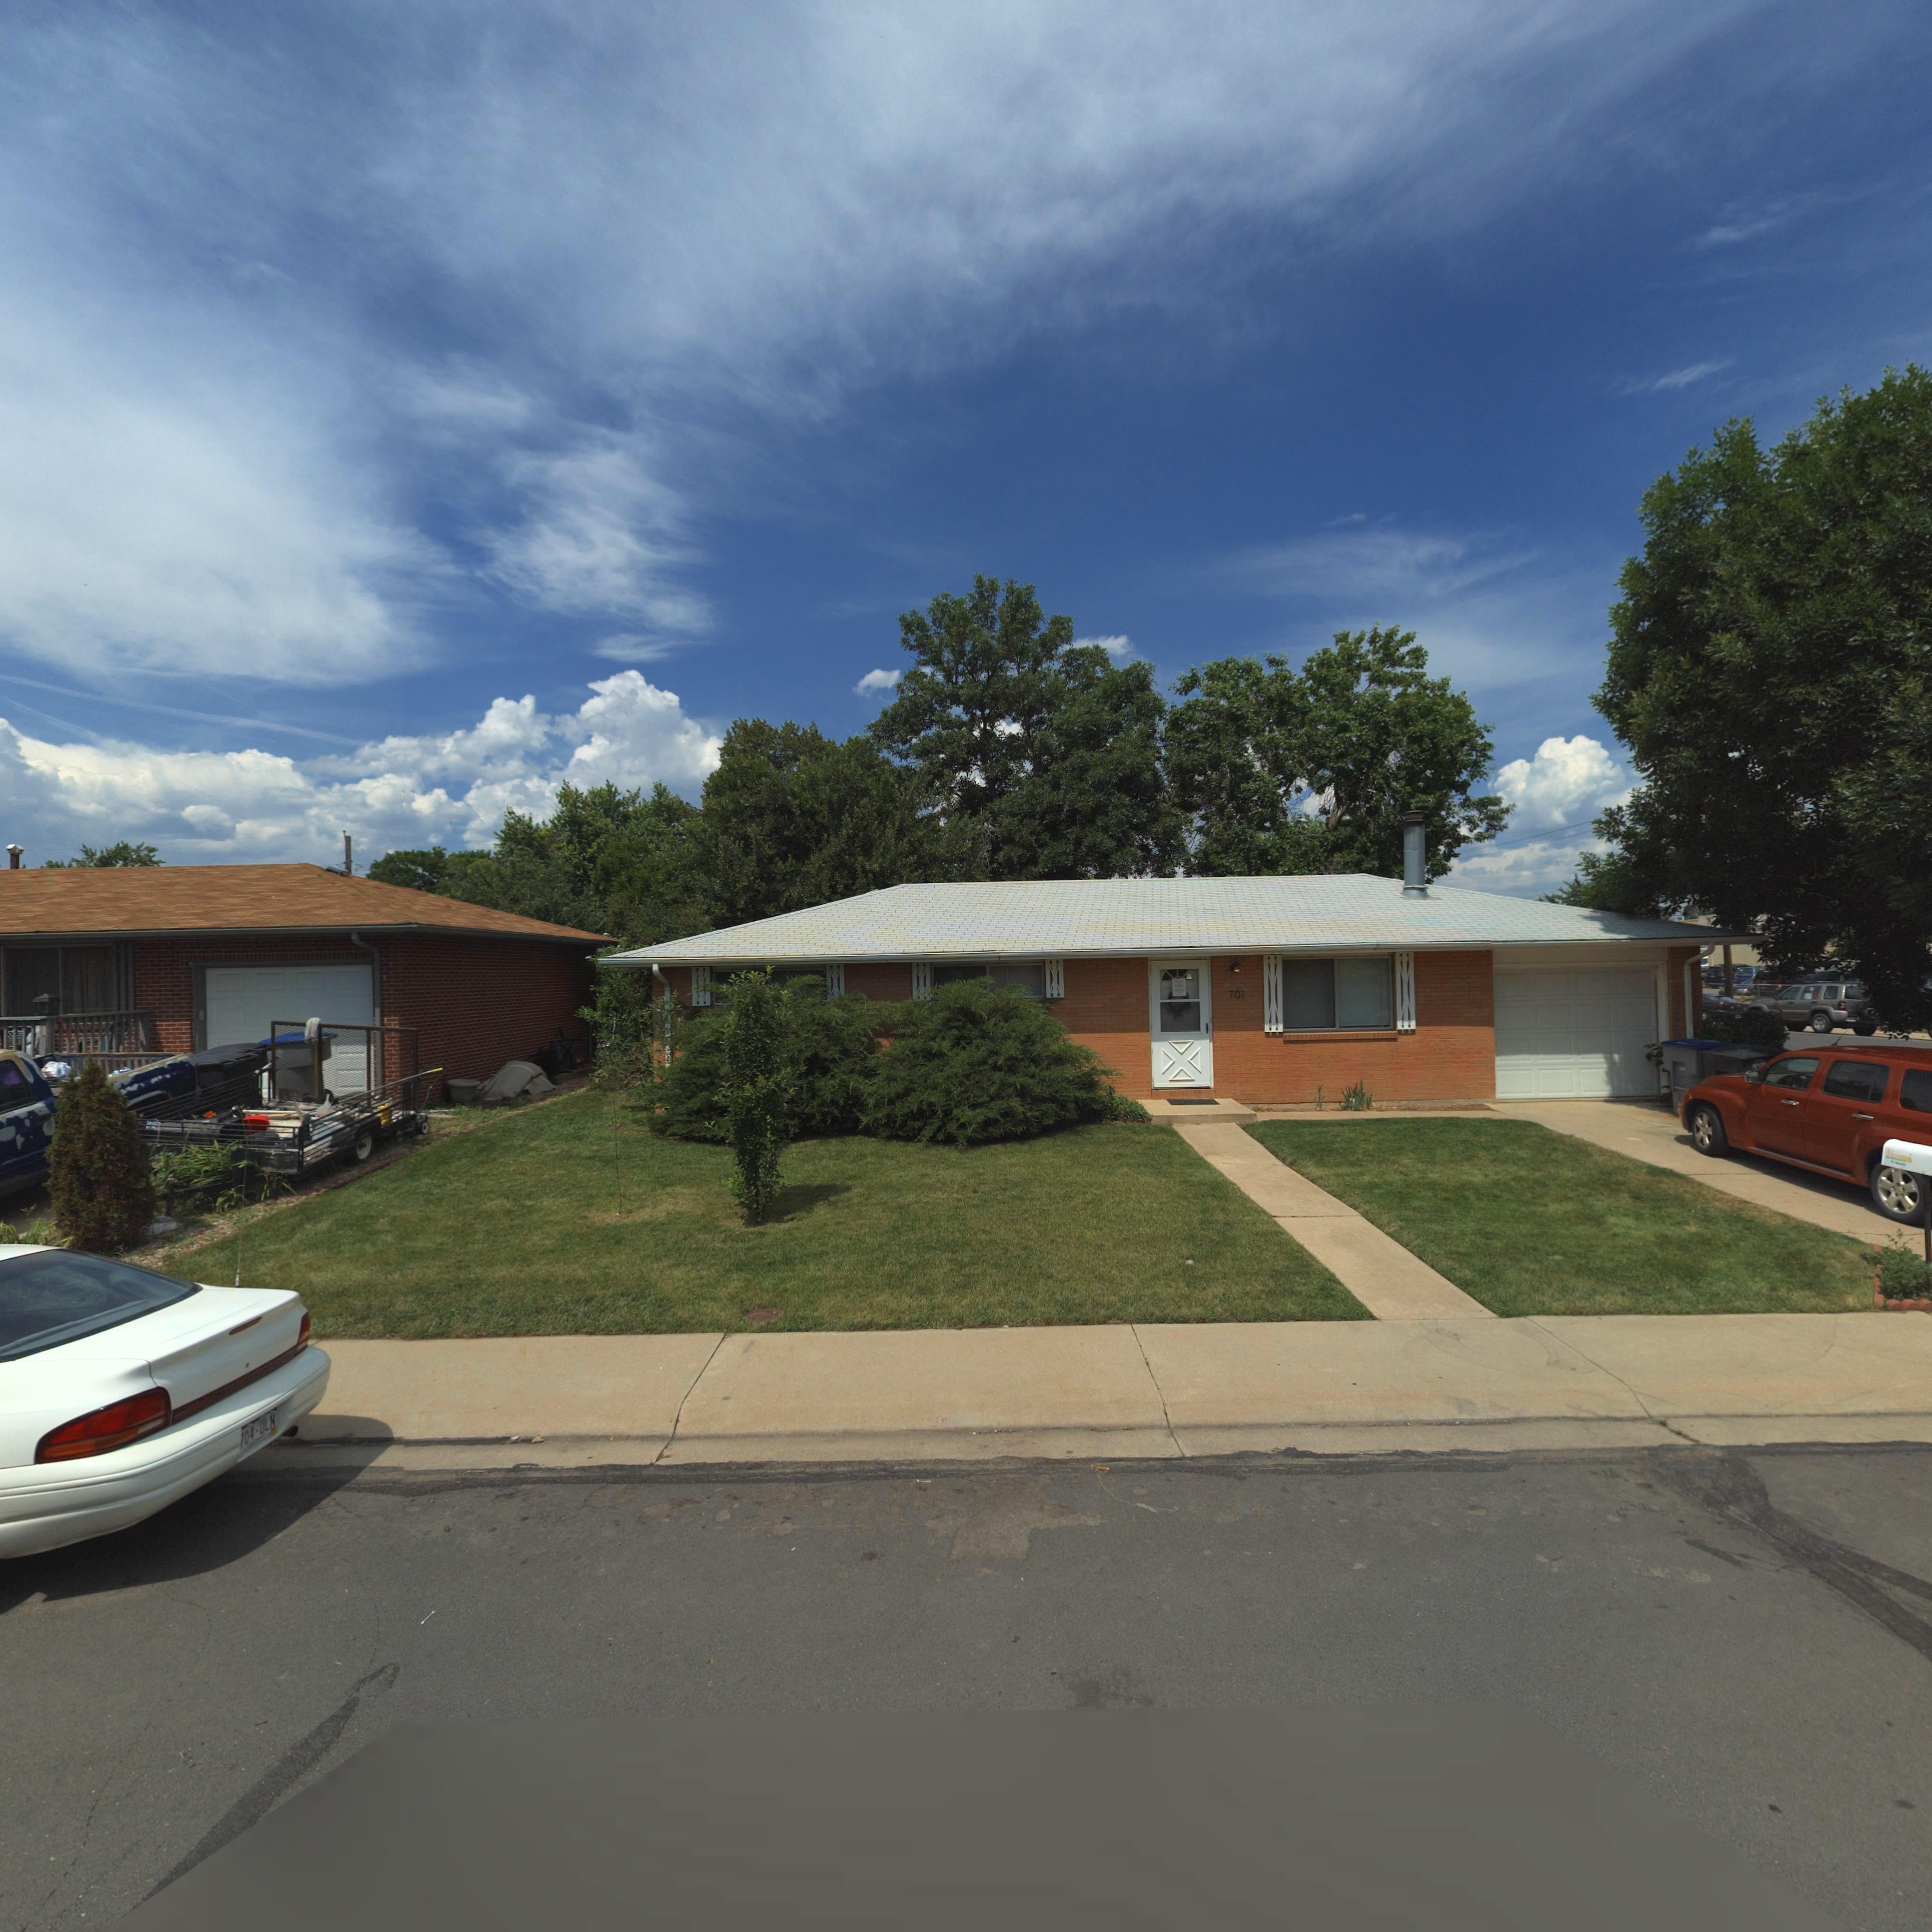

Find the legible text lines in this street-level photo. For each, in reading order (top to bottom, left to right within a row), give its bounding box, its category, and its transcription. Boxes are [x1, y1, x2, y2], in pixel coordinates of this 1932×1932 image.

[1227, 988, 1246, 1000] StreetNumber: 701